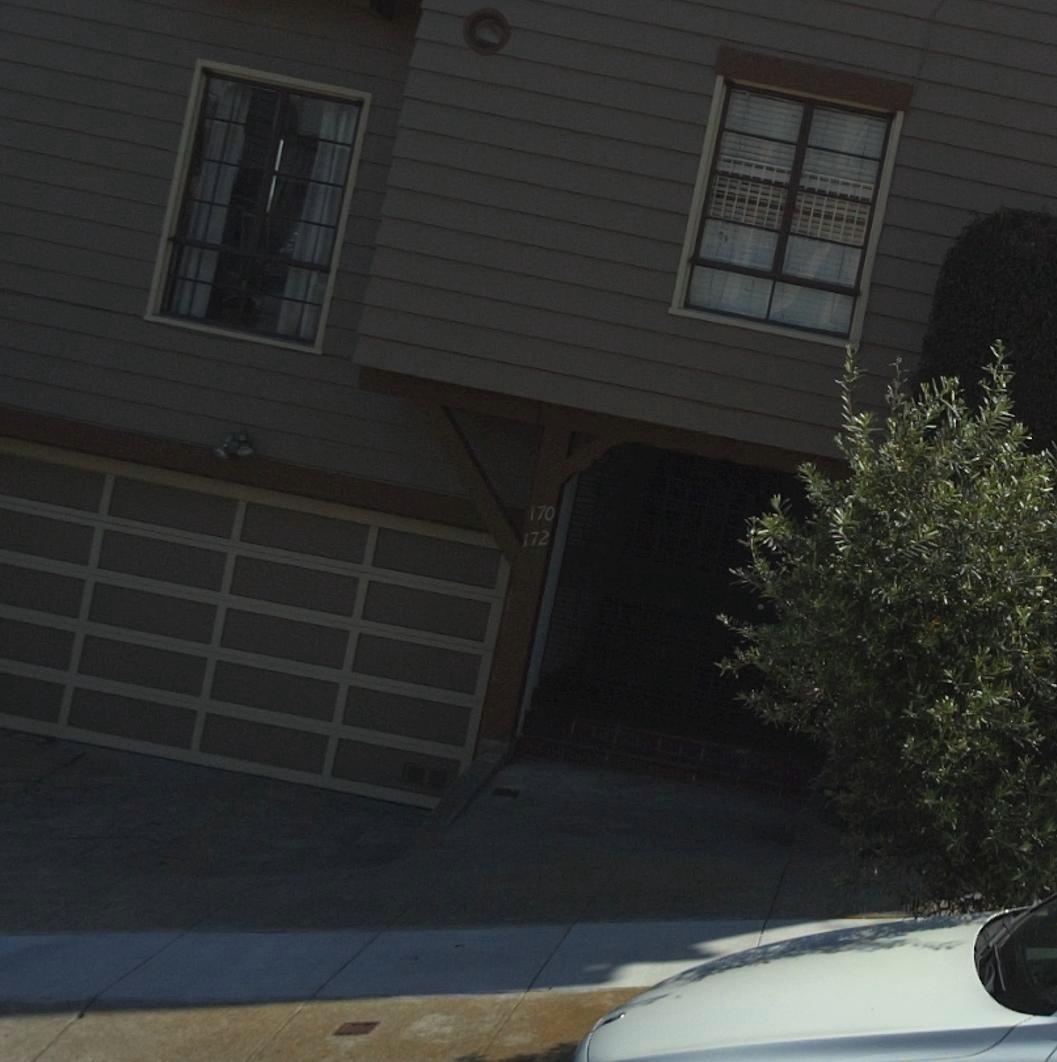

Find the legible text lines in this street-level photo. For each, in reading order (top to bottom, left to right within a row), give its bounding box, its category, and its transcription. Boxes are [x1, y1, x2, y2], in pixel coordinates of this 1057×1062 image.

[529, 504, 556, 522] StreetNumber: 170
[523, 529, 551, 548] StreetNumber: 172